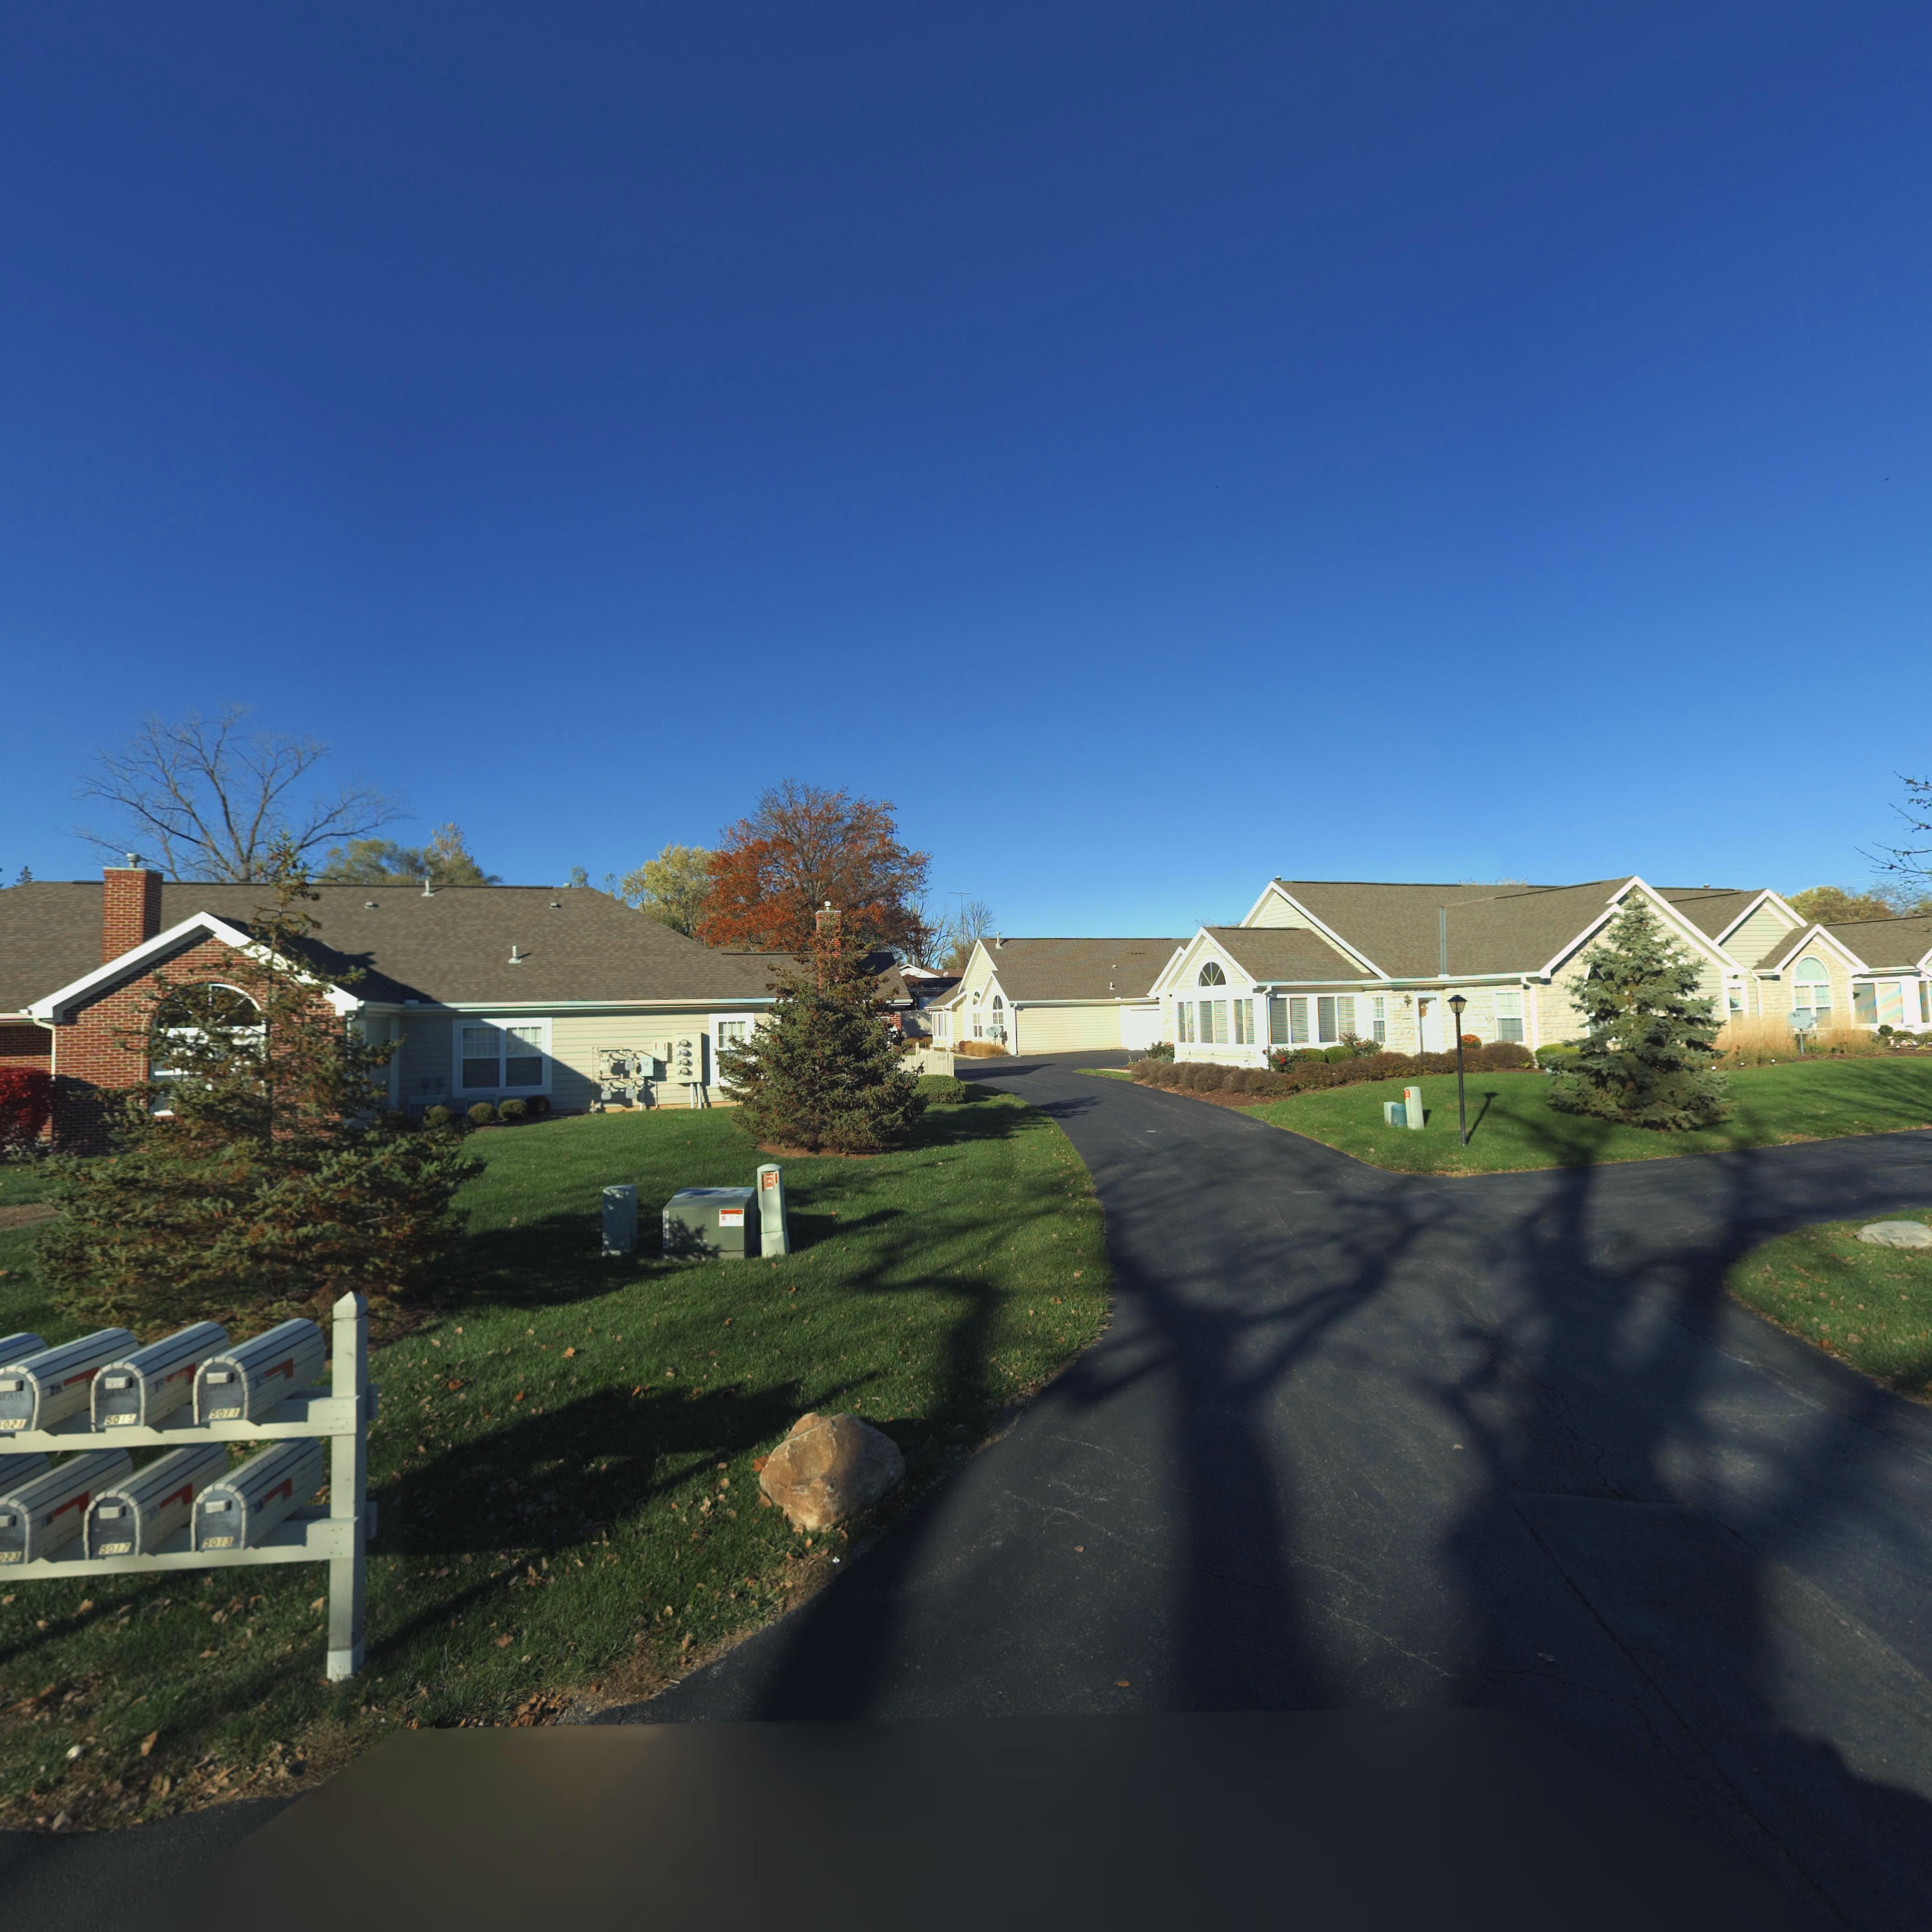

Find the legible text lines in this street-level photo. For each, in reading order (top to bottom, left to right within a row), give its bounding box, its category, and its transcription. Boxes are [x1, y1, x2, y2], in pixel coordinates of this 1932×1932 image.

[1, 1418, 26, 1430] StreetNumber: 021
[105, 1413, 135, 1426] StreetNumber: *015
[209, 1407, 239, 1420] StreetNumber: 5011
[203, 1536, 232, 1548] StreetNumber: 5013
[99, 1542, 130, 1555] StreetNumber: 5017
[3, 1551, 20, 1563] StreetNumber: 23